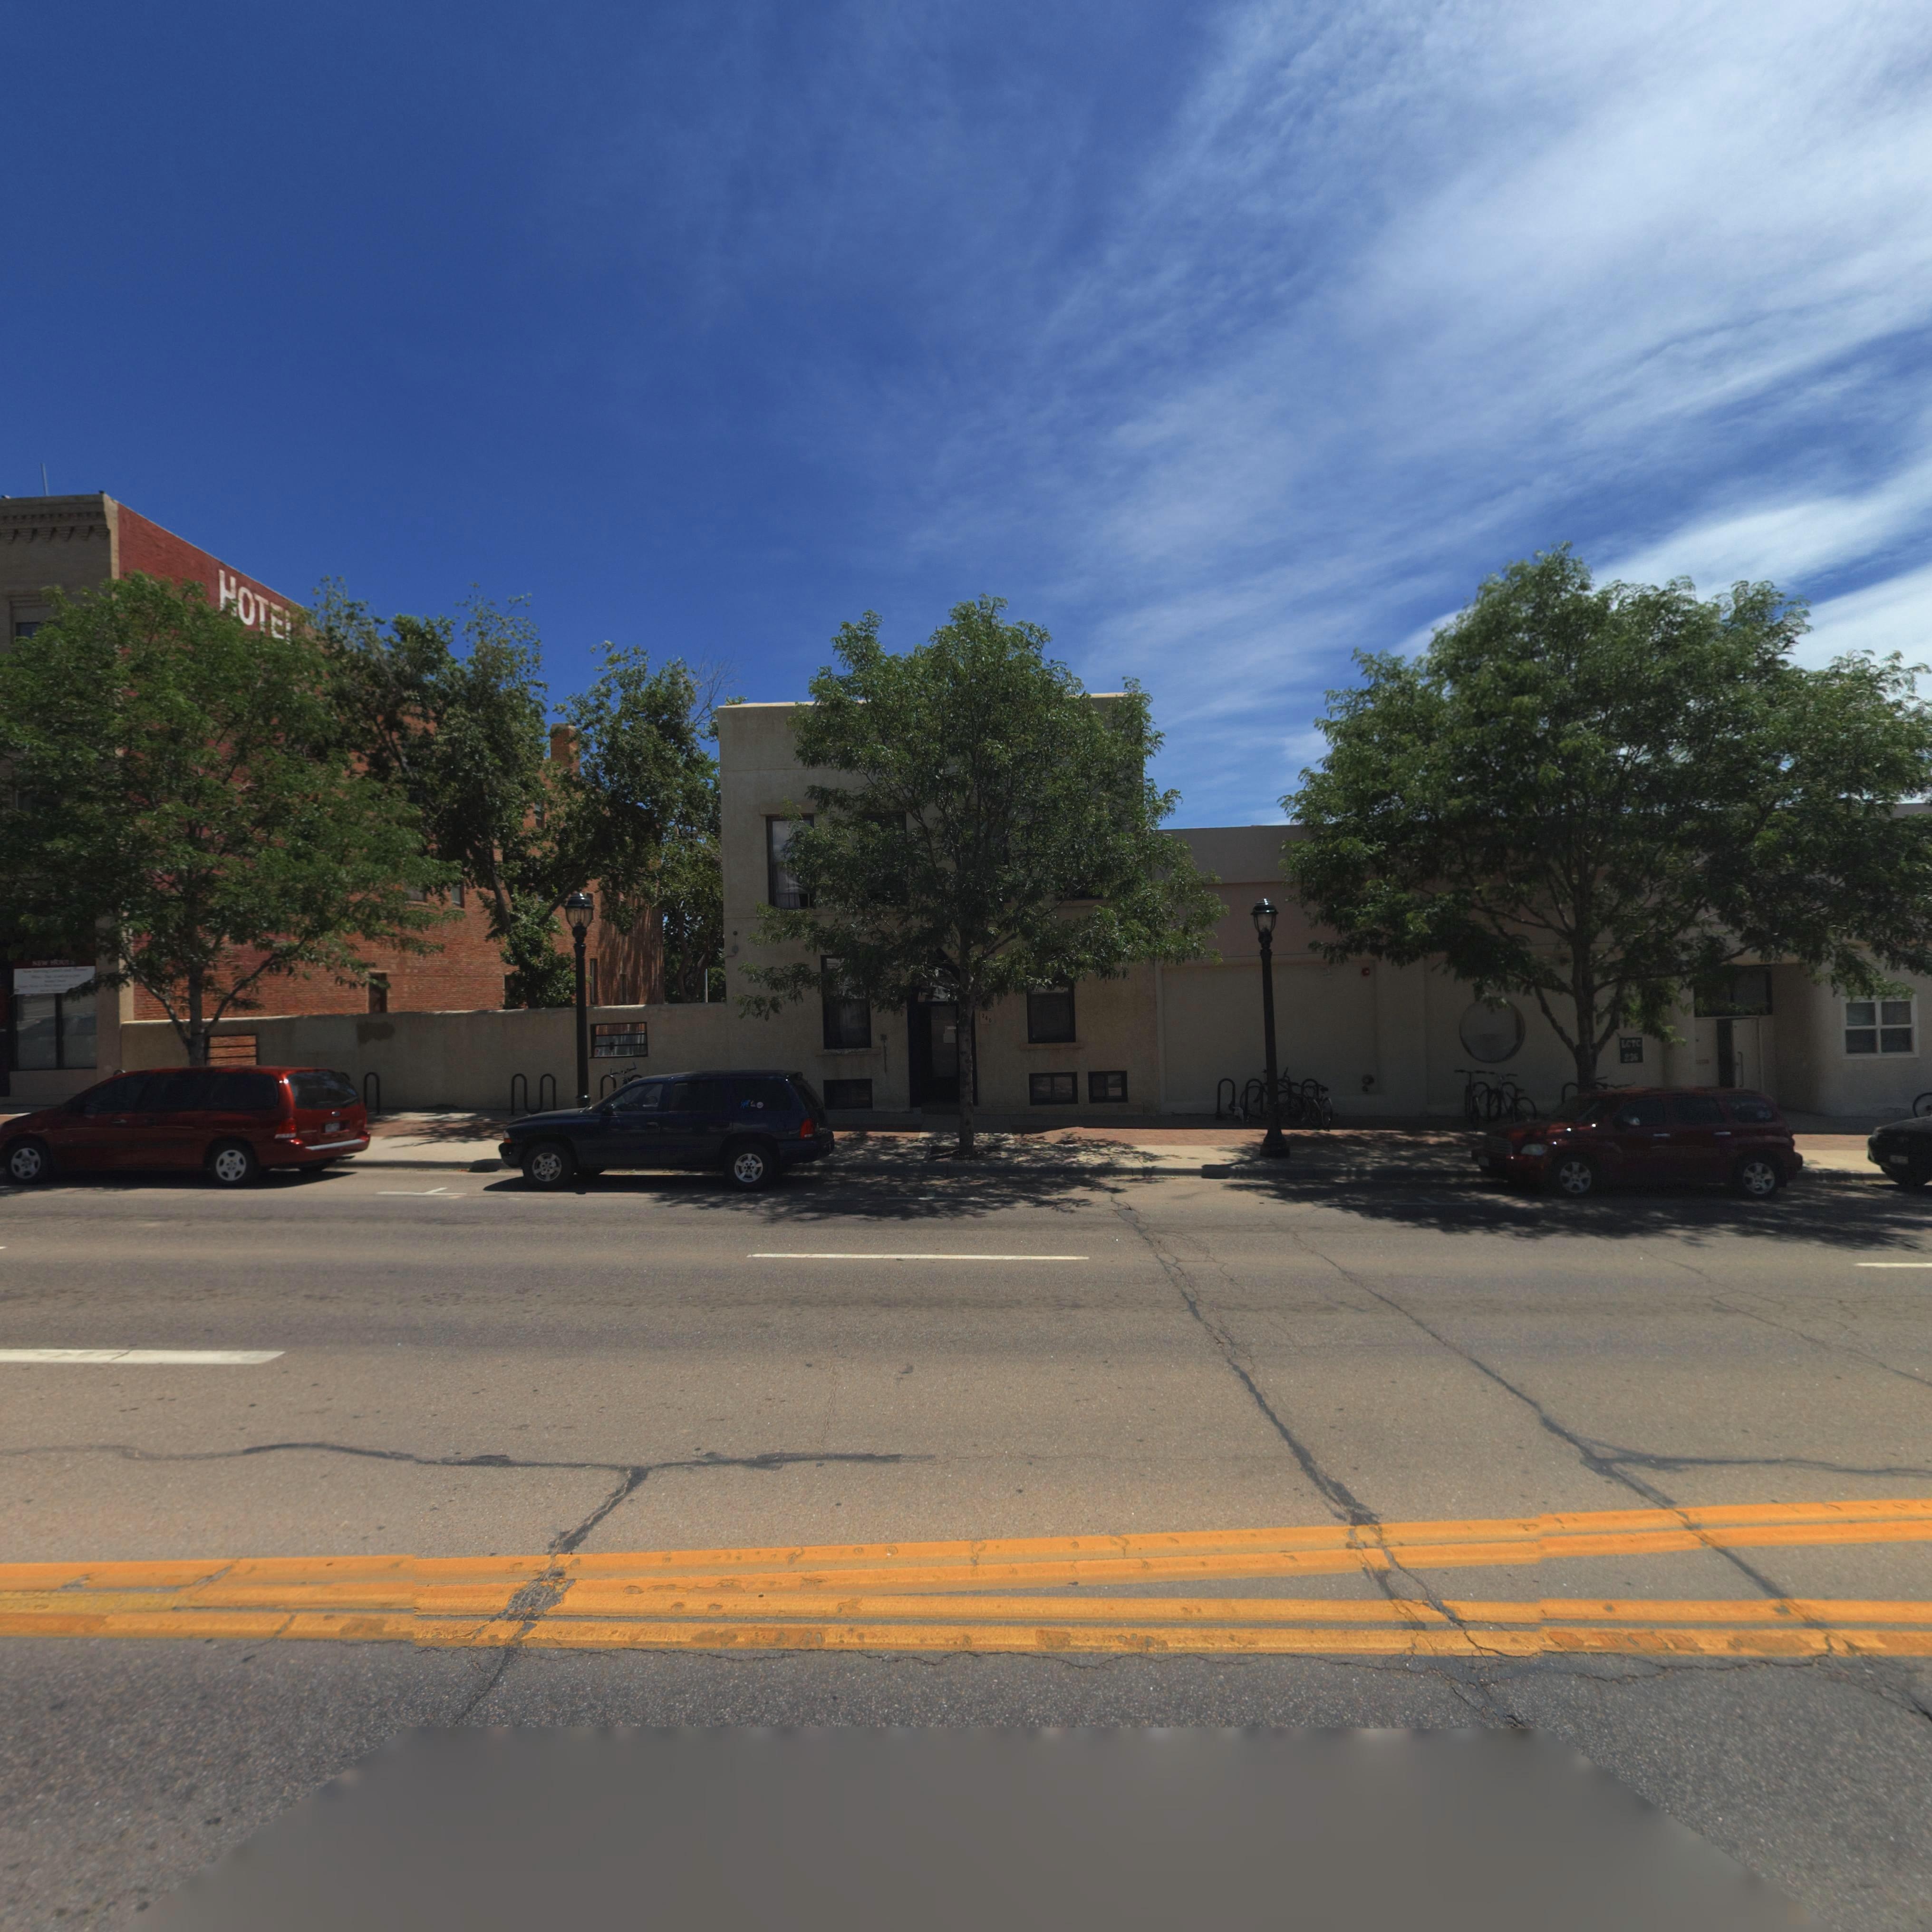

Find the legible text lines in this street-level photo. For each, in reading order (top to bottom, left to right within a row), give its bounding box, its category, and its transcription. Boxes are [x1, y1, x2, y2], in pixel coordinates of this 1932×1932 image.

[981, 1012, 992, 1024] StreetNumber: 240
[1621, 1039, 1642, 1049] BusinessName: LCTC
[1623, 1053, 1639, 1062] StreetNumber: 236